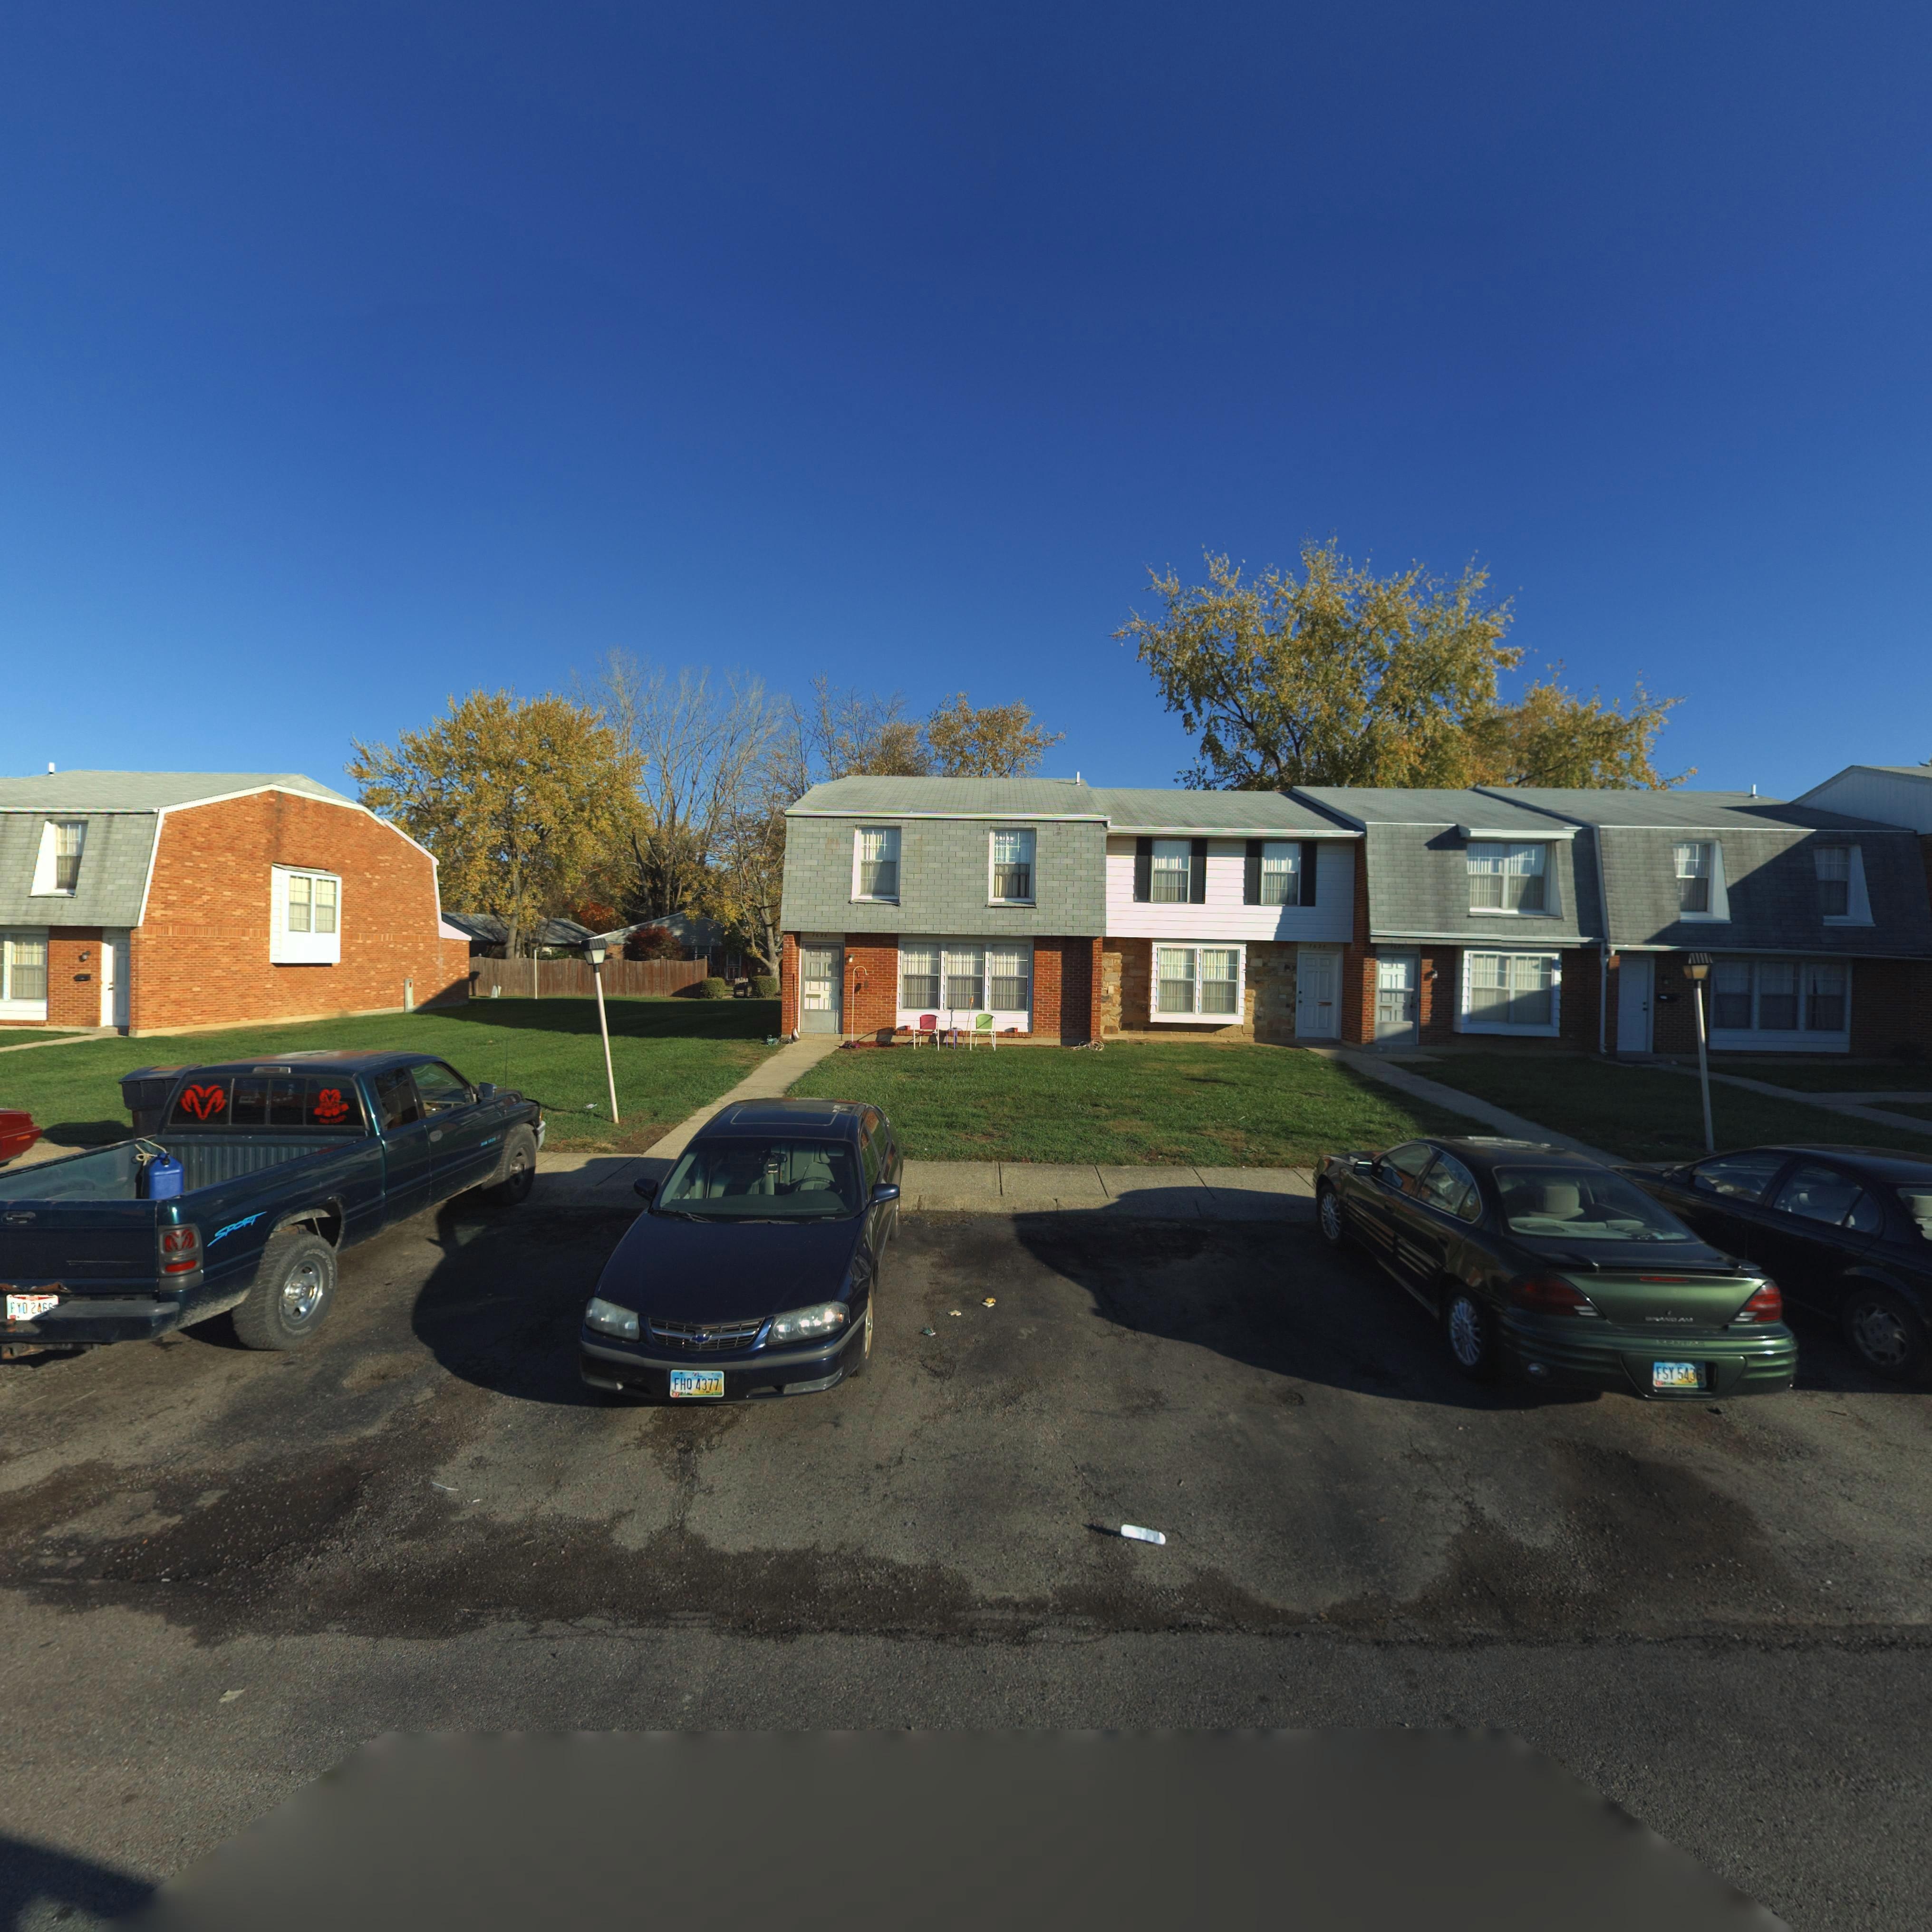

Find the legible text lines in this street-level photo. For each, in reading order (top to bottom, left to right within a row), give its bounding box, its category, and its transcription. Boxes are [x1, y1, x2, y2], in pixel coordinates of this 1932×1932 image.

[116, 927, 128, 933] StreetNumber: 762
[811, 932, 828, 938] StreetNumber: 7626
[1308, 943, 1326, 948] StreetNumber: 7624
[1389, 944, 1405, 949] StreetNumber: 7*22
[1622, 950, 1641, 955] StreetNumber: 7620